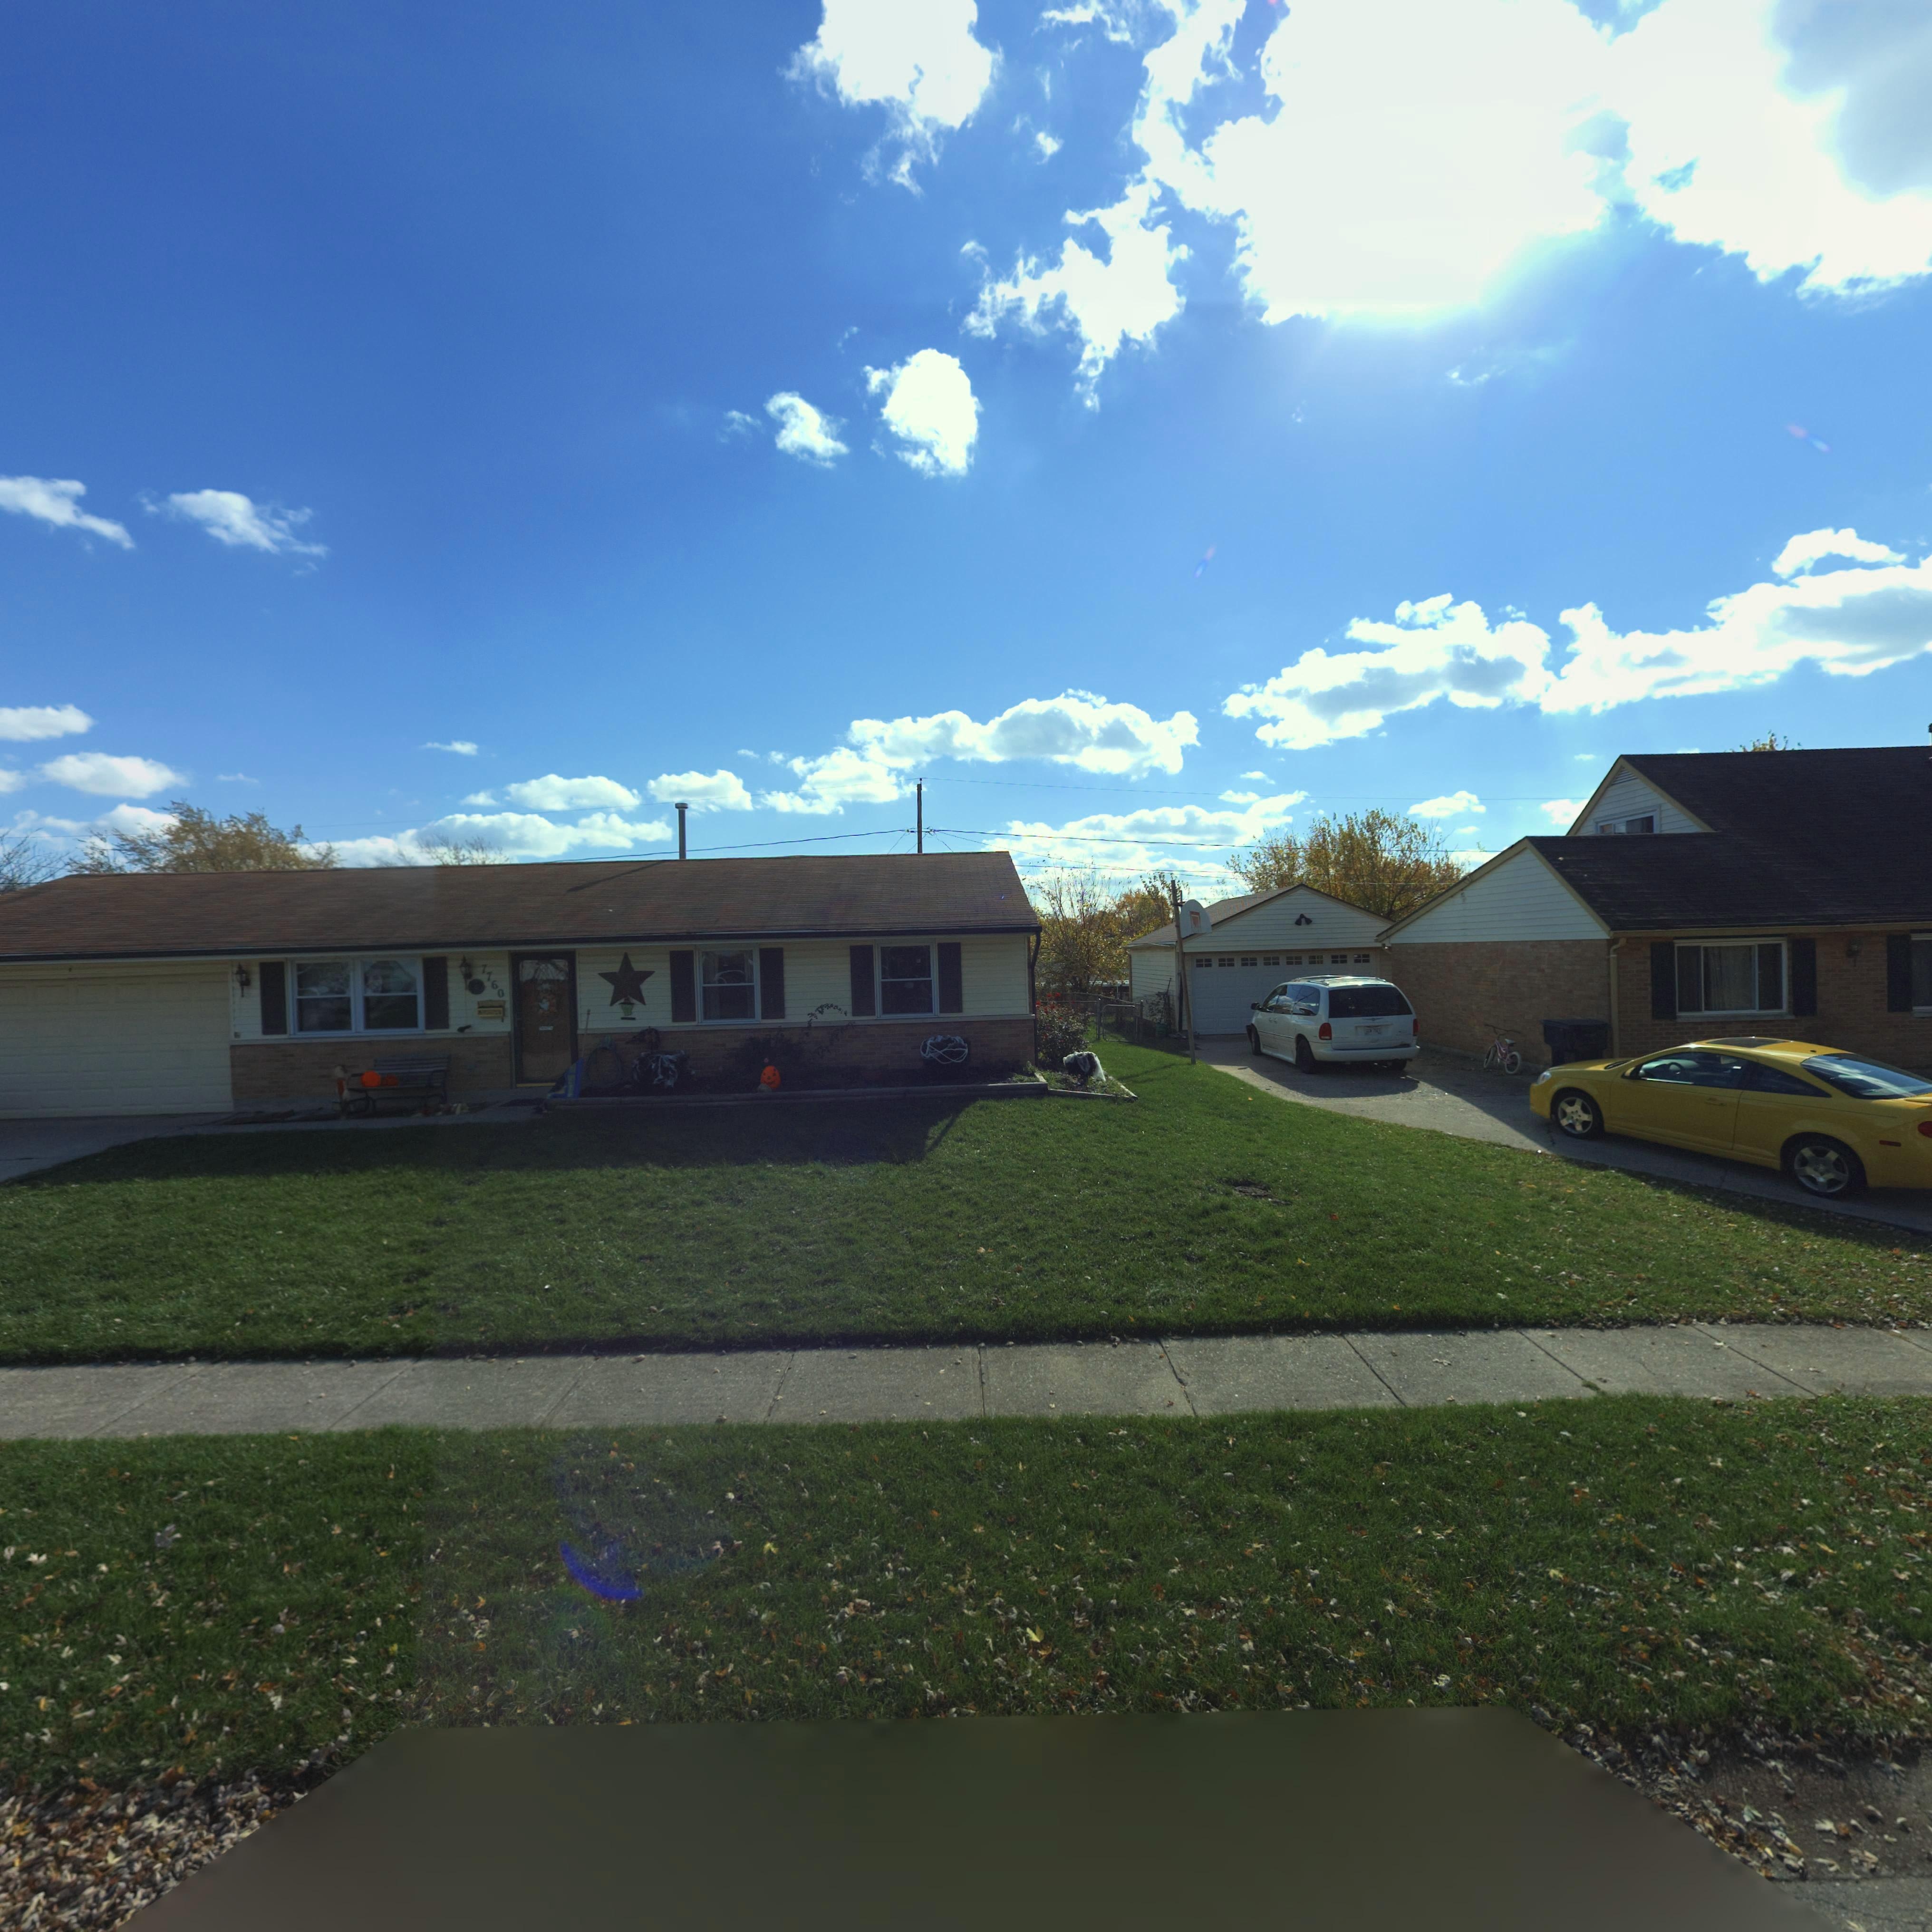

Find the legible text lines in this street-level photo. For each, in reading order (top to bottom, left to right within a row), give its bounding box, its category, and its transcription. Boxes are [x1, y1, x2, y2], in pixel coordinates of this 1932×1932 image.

[481, 963, 505, 999] StreetNumber: 7760